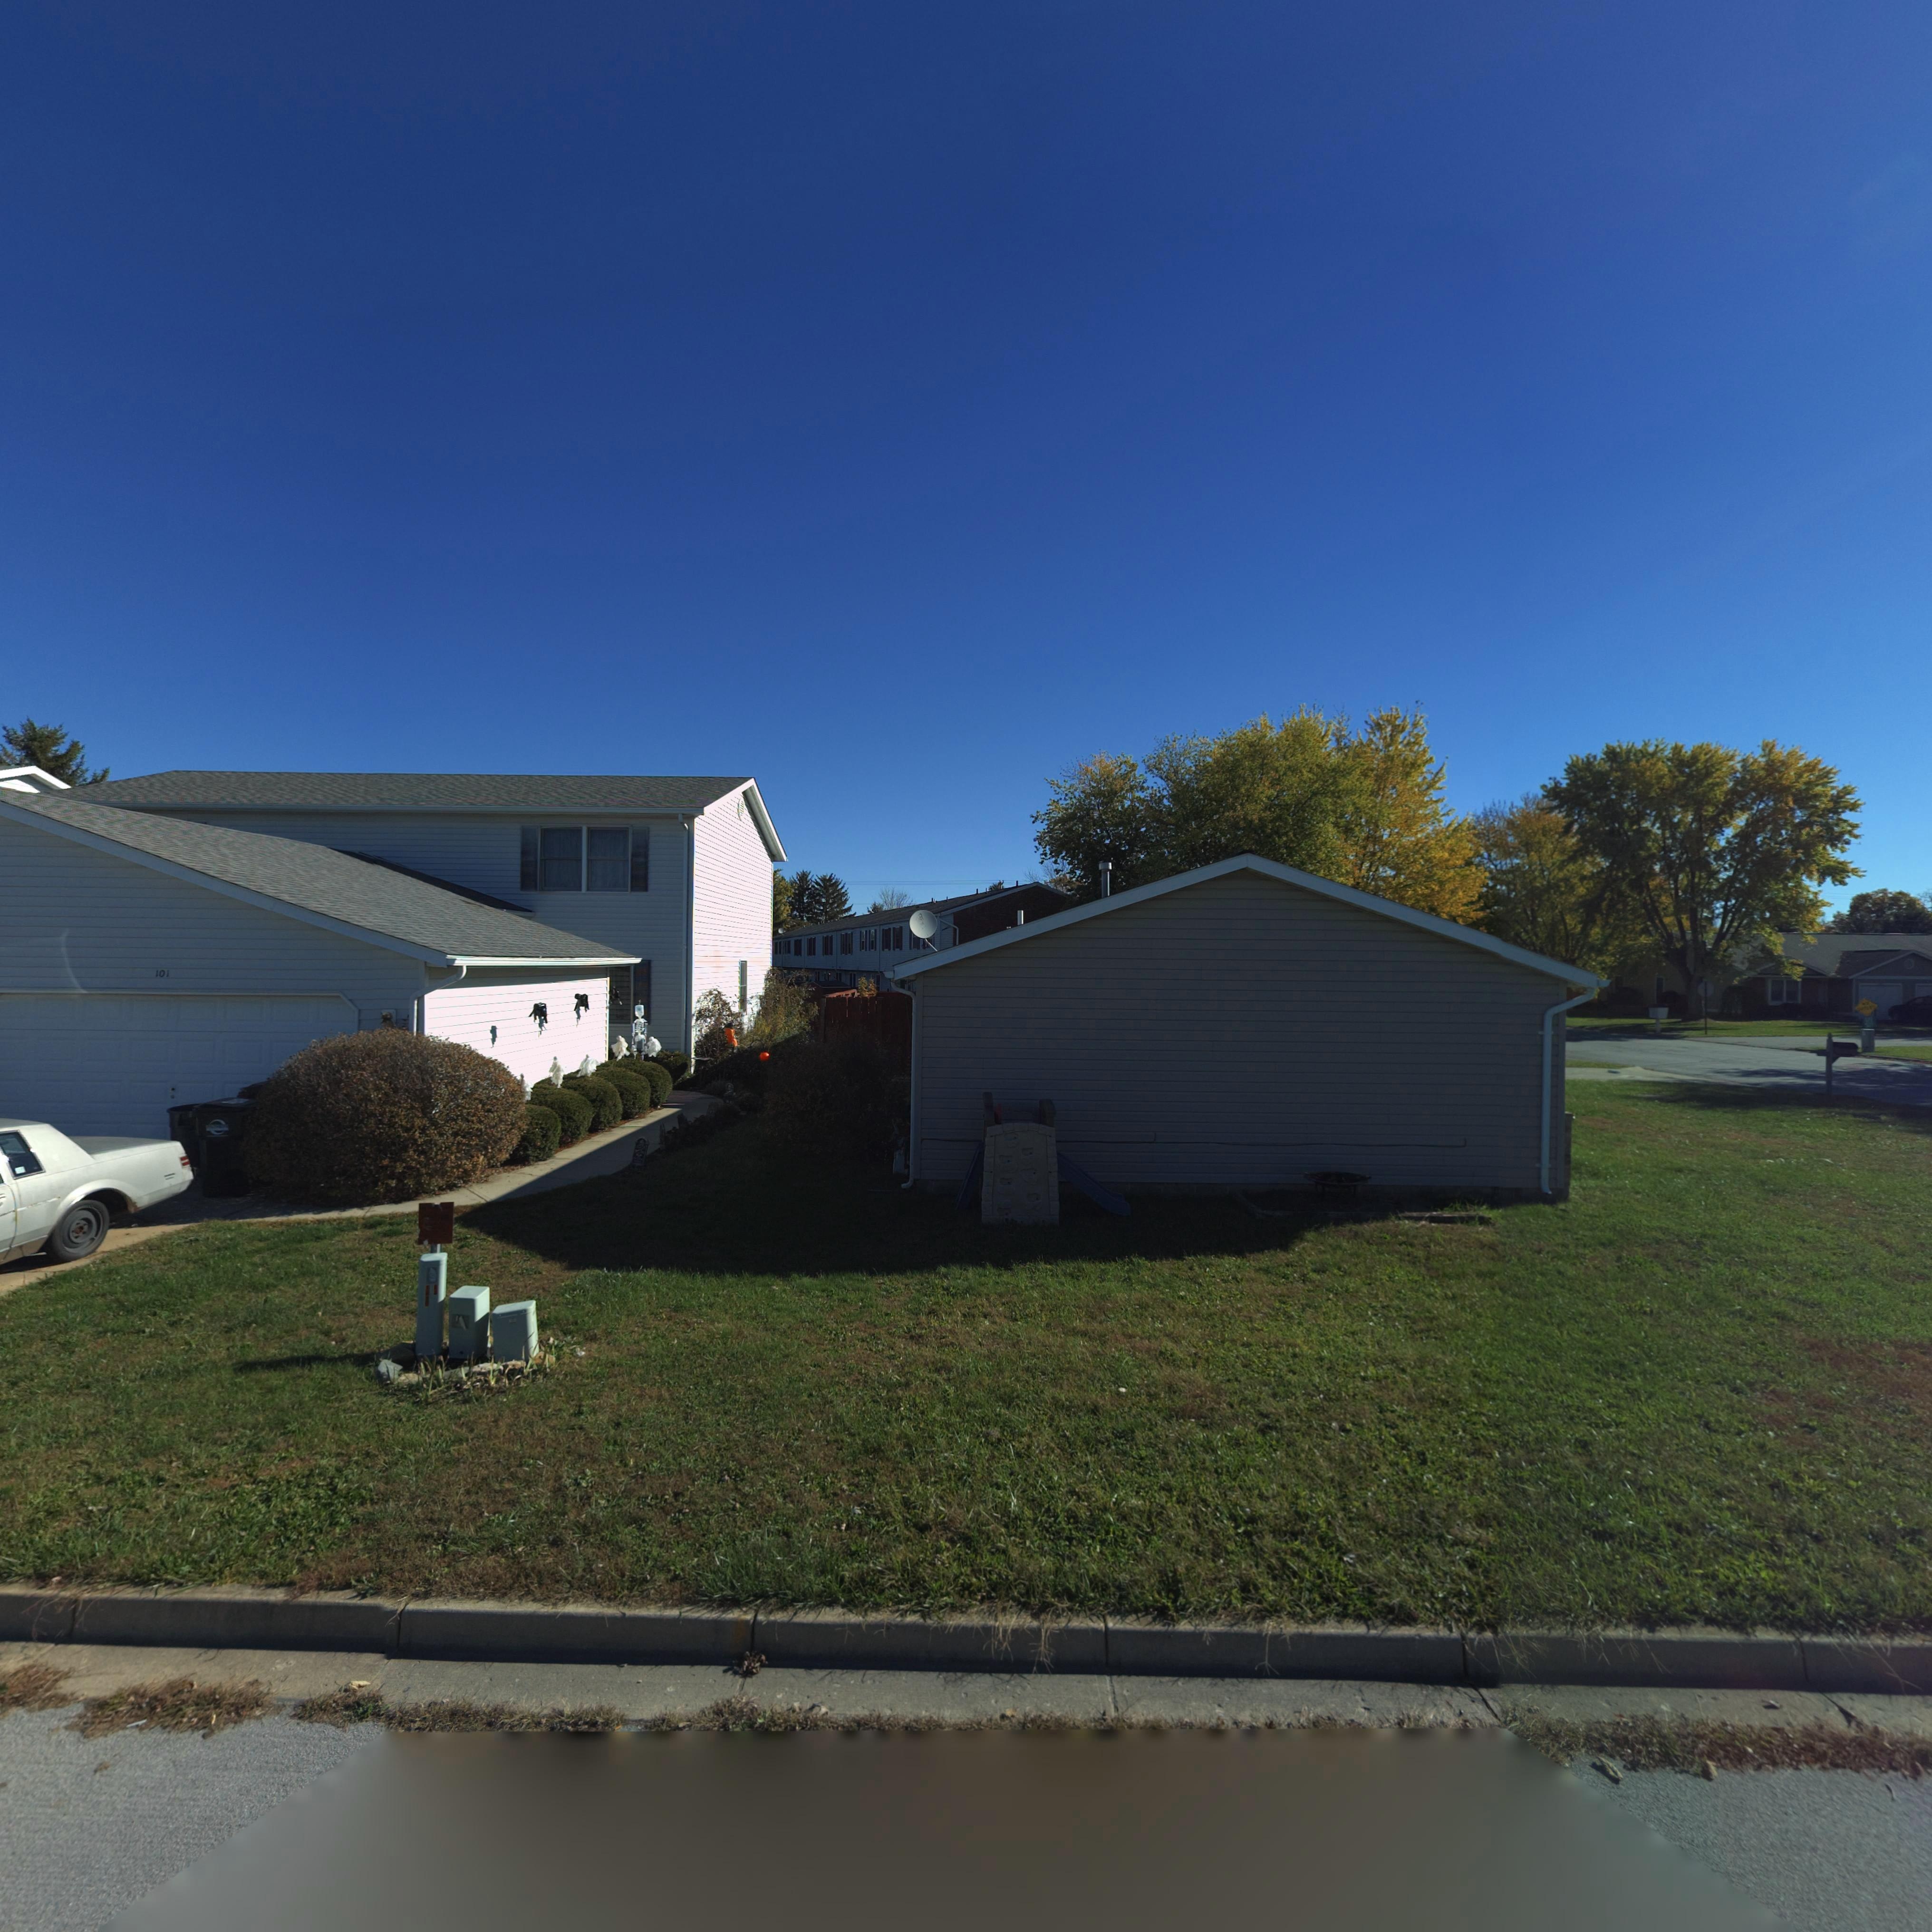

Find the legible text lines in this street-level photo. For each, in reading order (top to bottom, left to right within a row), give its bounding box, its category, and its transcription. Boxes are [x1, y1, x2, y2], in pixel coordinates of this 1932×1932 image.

[155, 969, 170, 978] StreetNumber: 101